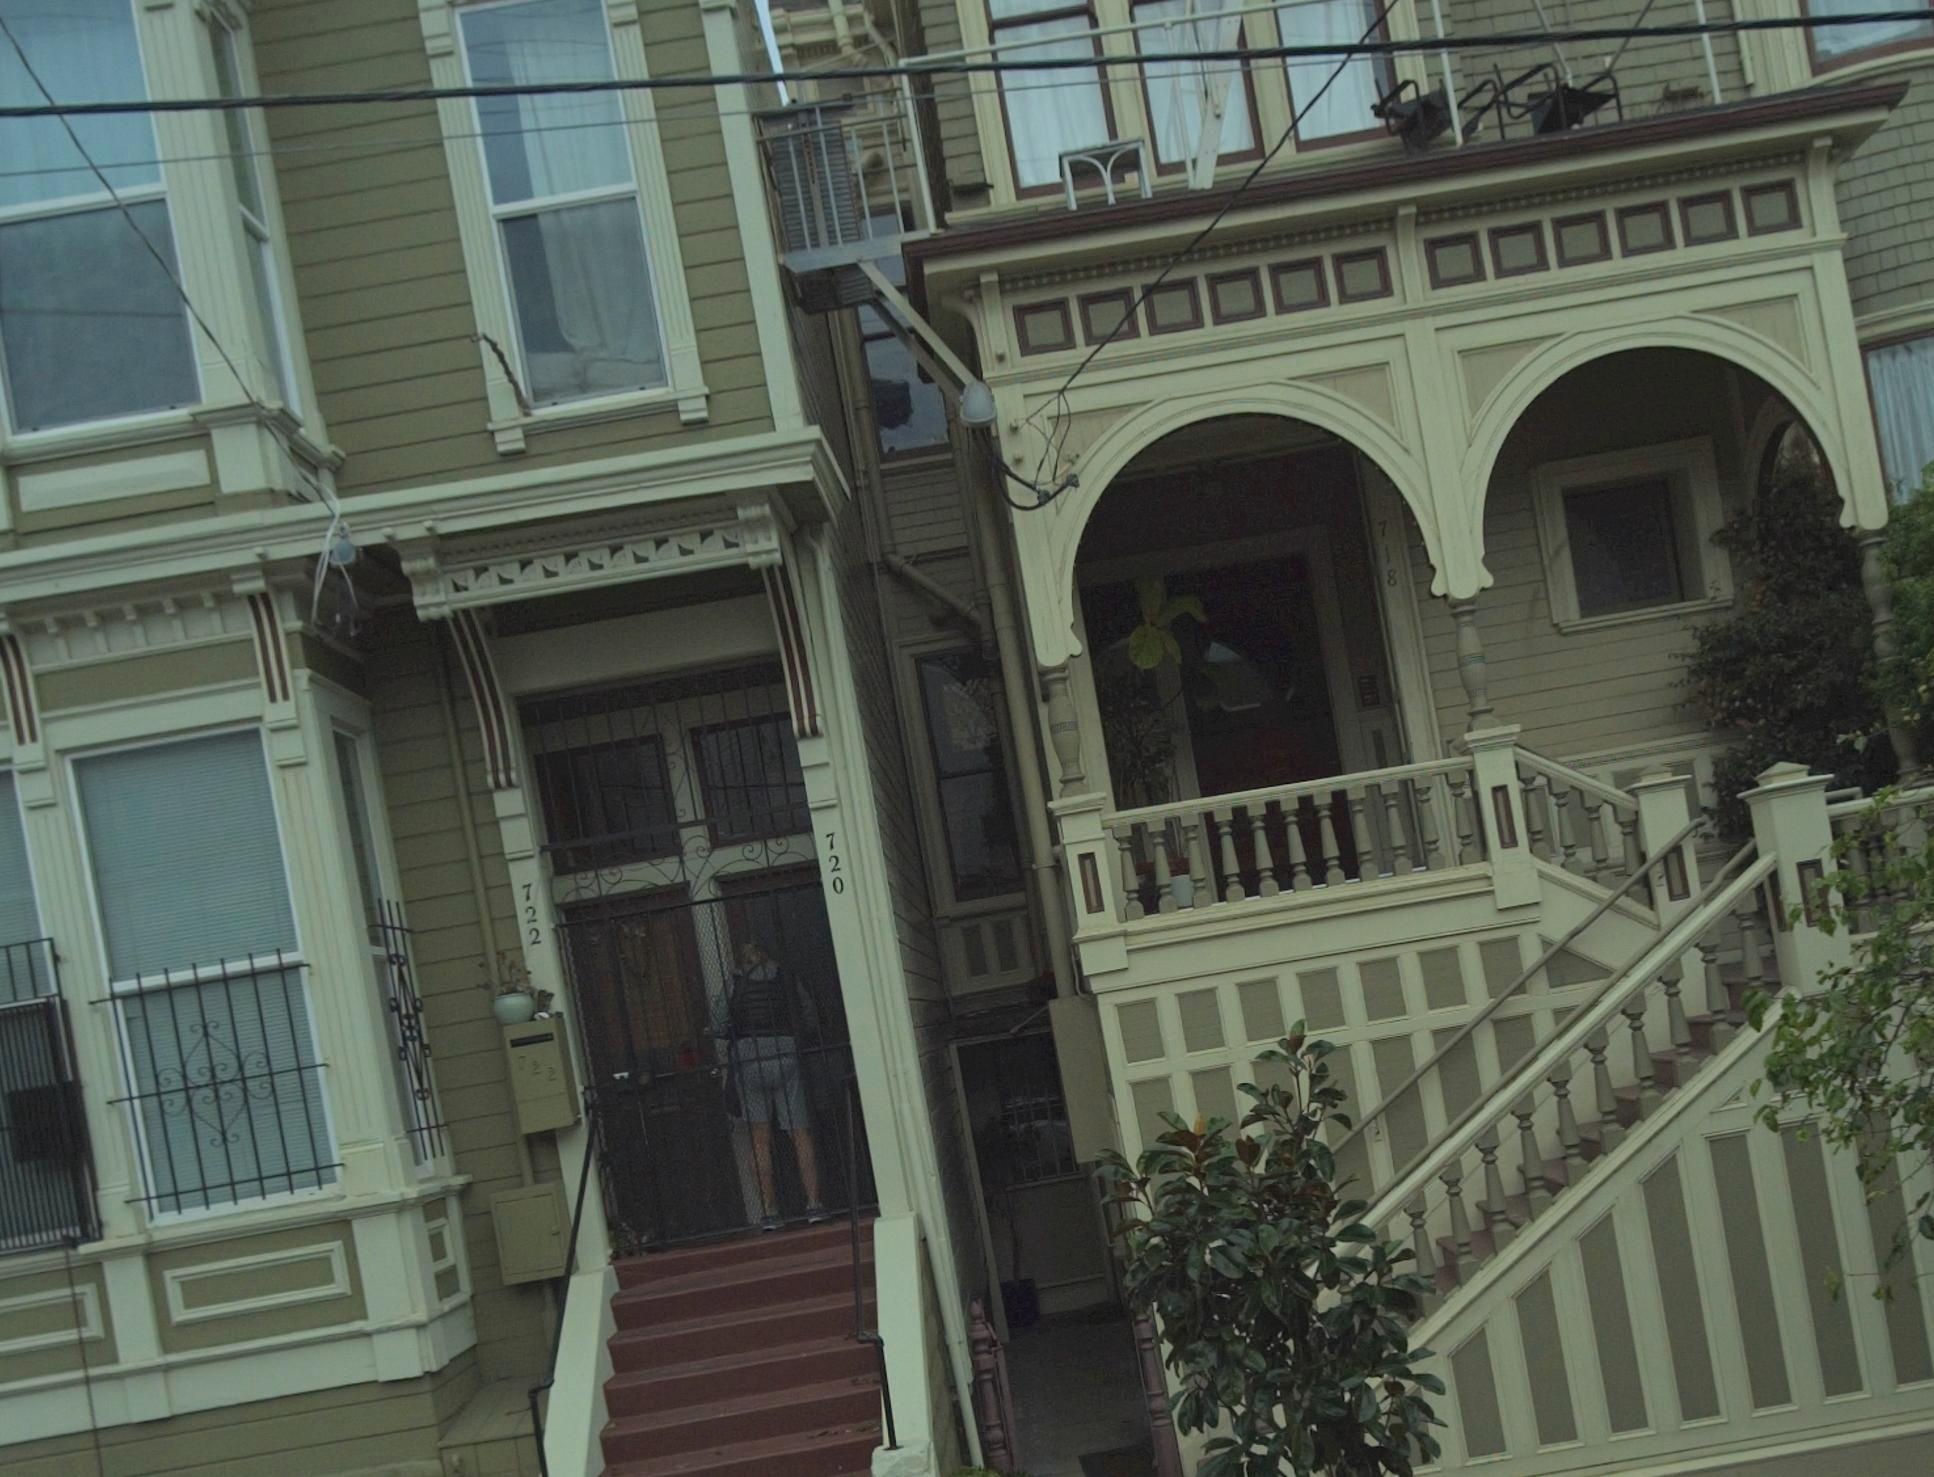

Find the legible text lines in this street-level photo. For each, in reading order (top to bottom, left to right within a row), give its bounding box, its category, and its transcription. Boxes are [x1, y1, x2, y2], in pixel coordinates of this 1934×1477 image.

[1376, 519, 1400, 591] StreetNumber: 718
[823, 830, 846, 898] StreetNumber: 720
[520, 881, 544, 948] StreetNumber: 722
[515, 1053, 559, 1084] StreetNumber: 722